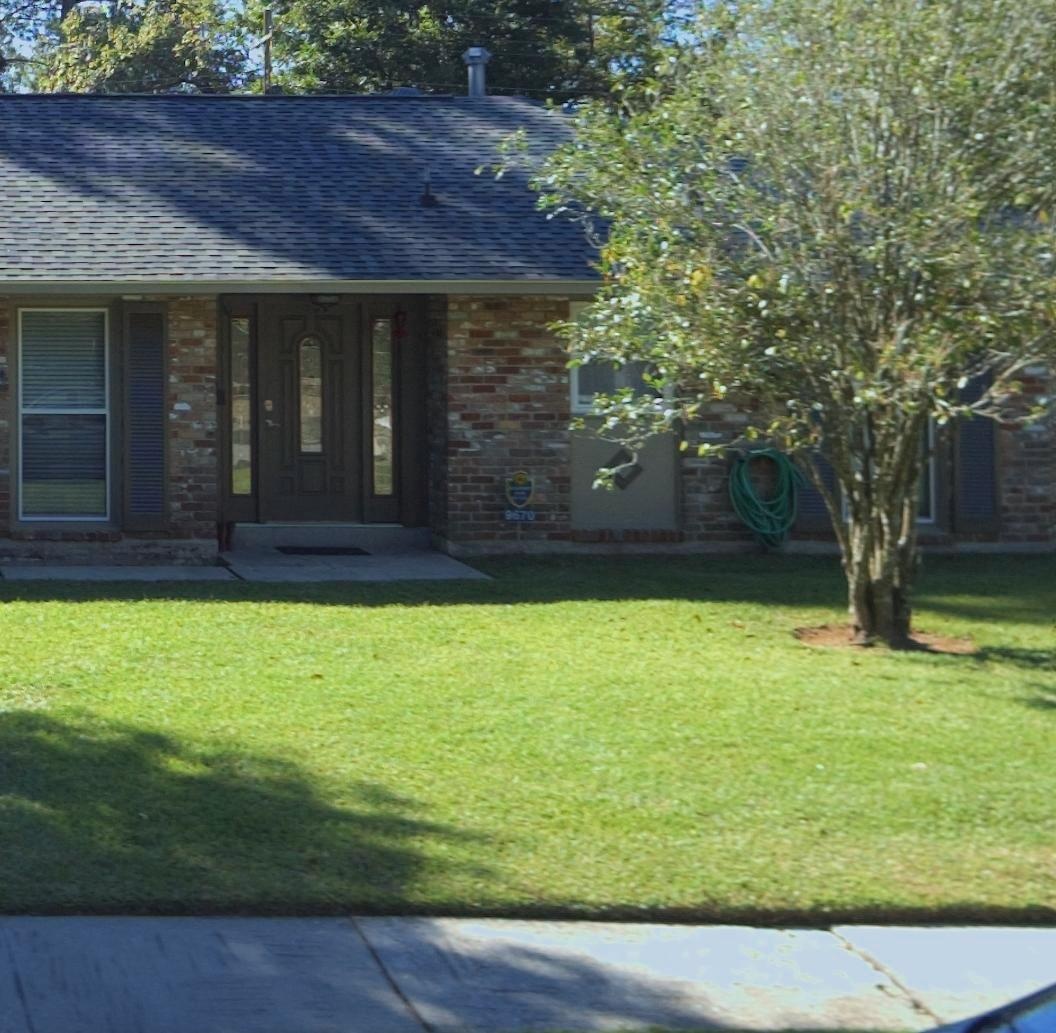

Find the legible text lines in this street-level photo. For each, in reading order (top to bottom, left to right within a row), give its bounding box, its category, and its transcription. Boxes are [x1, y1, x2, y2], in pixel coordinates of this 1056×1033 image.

[503, 508, 537, 522] StreetNumber: *670